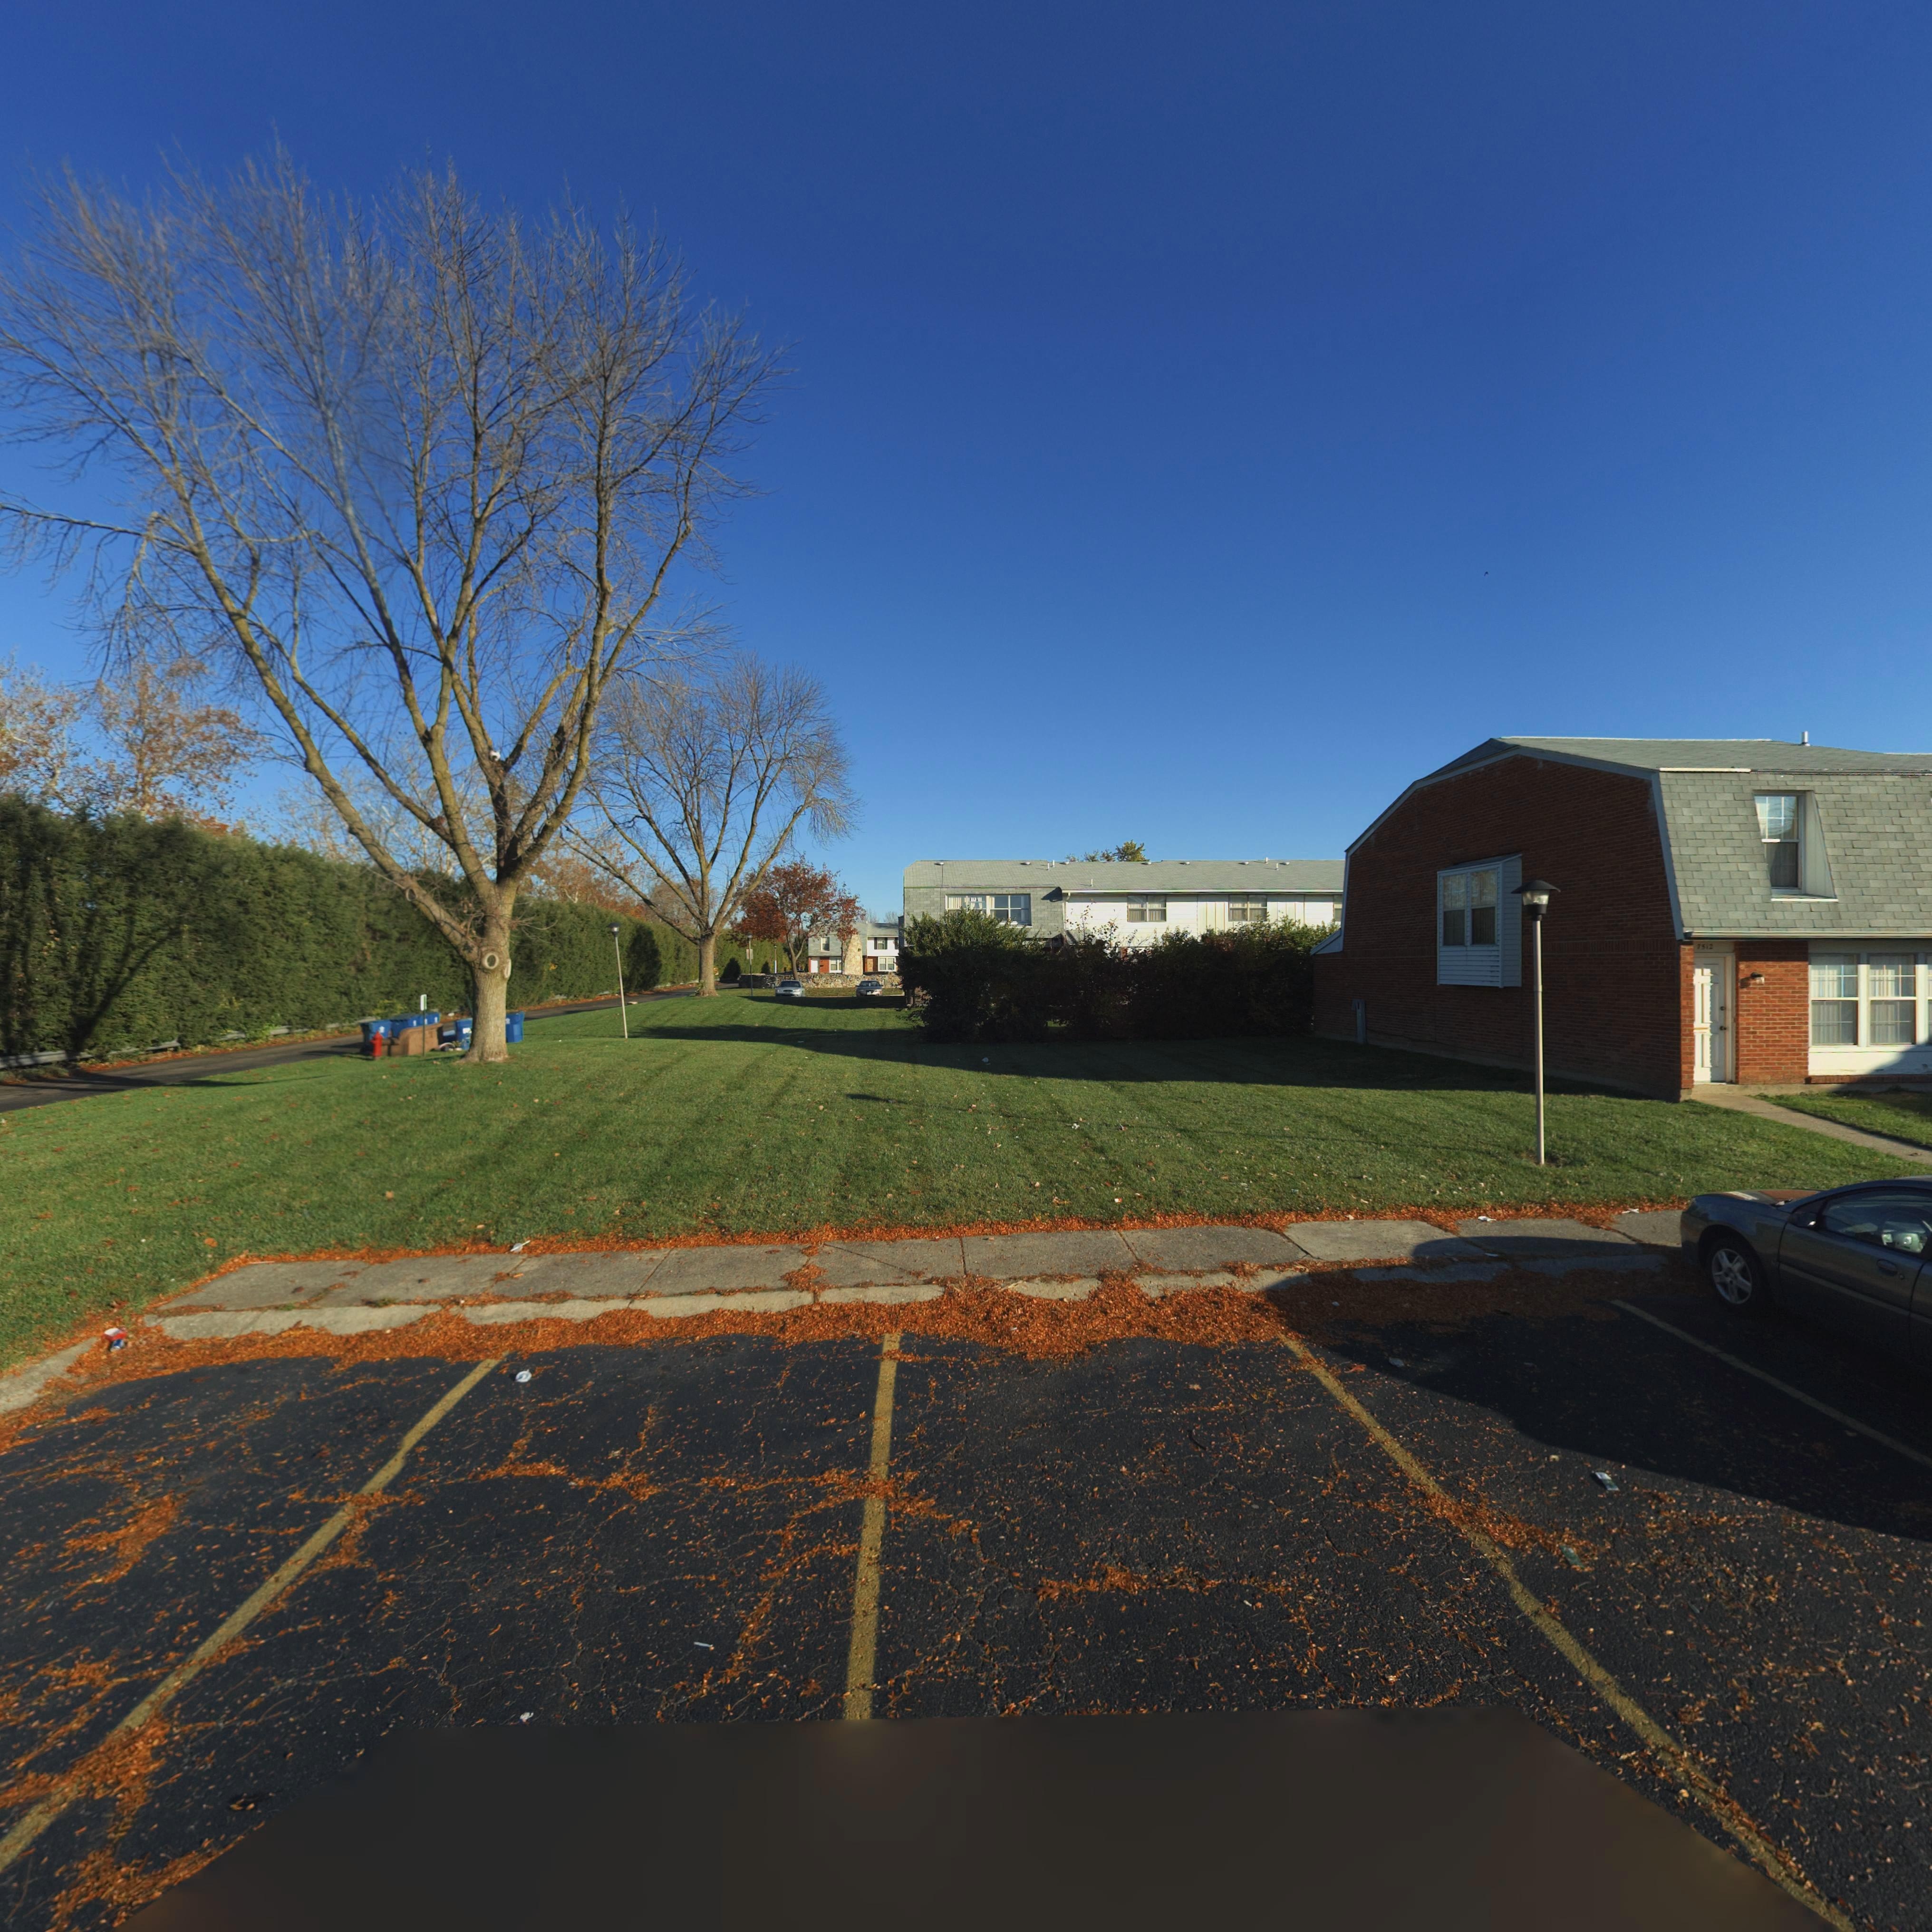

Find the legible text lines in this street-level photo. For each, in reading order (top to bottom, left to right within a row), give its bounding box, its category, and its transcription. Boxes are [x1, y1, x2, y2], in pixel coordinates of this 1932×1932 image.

[1696, 942, 1714, 951] StreetNumber: 7512